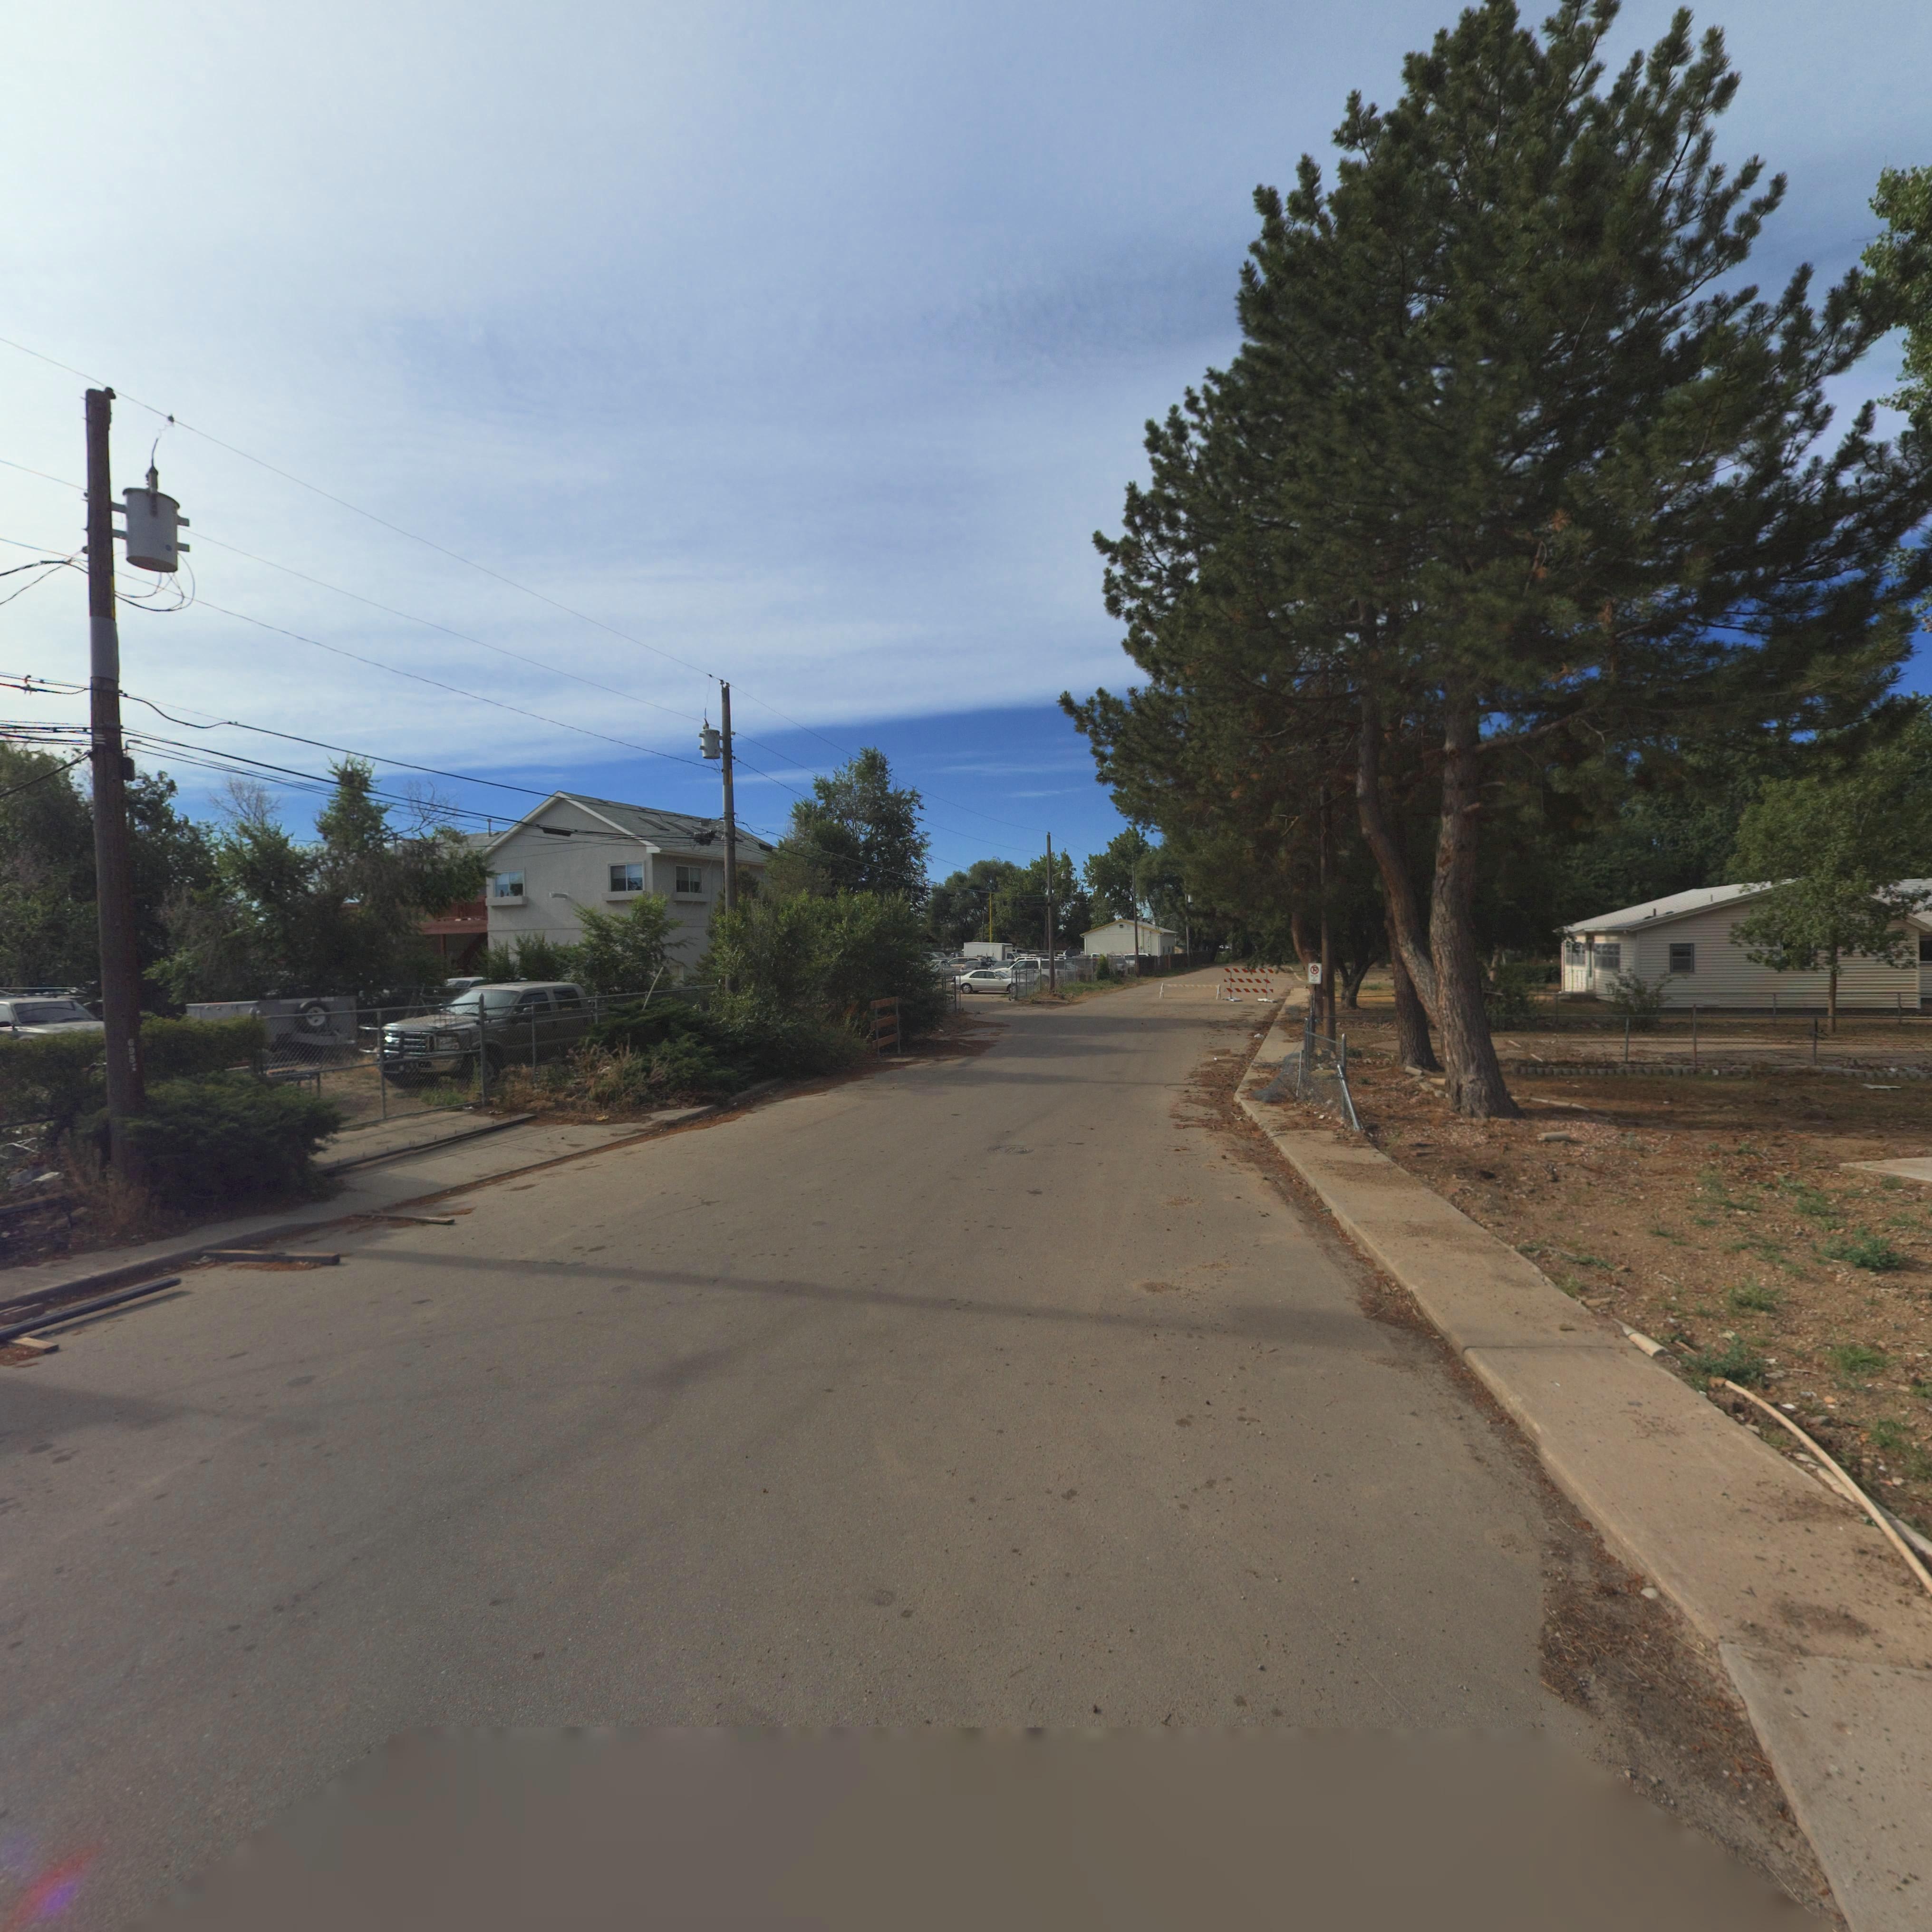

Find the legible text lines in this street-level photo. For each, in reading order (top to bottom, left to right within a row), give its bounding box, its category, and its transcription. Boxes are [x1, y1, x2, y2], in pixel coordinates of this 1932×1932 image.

[127, 1039, 136, 1063] StreetNumber: 695